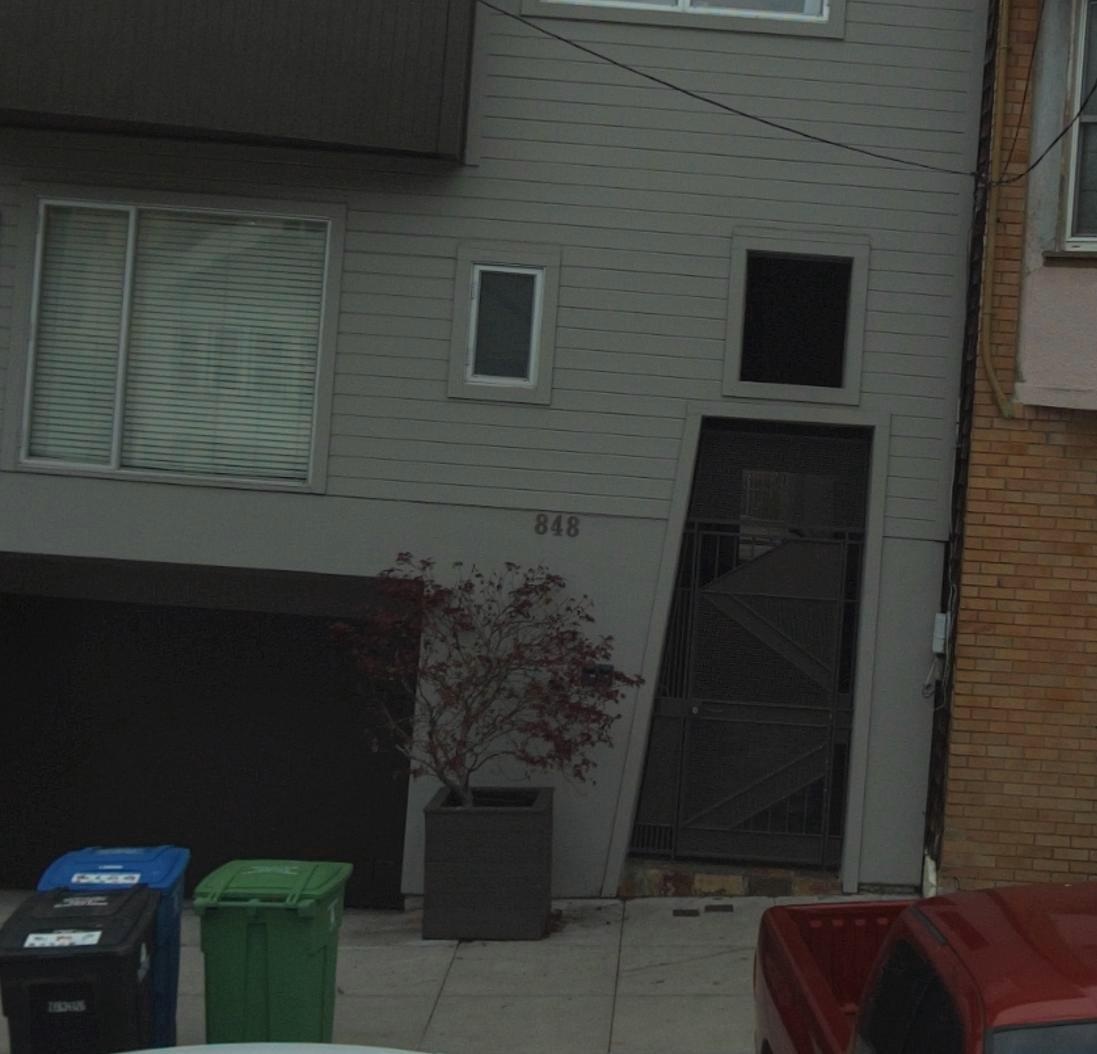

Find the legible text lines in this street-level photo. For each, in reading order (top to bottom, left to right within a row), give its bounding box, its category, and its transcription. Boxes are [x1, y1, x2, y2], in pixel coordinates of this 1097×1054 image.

[533, 512, 582, 538] StreetNumber: 848